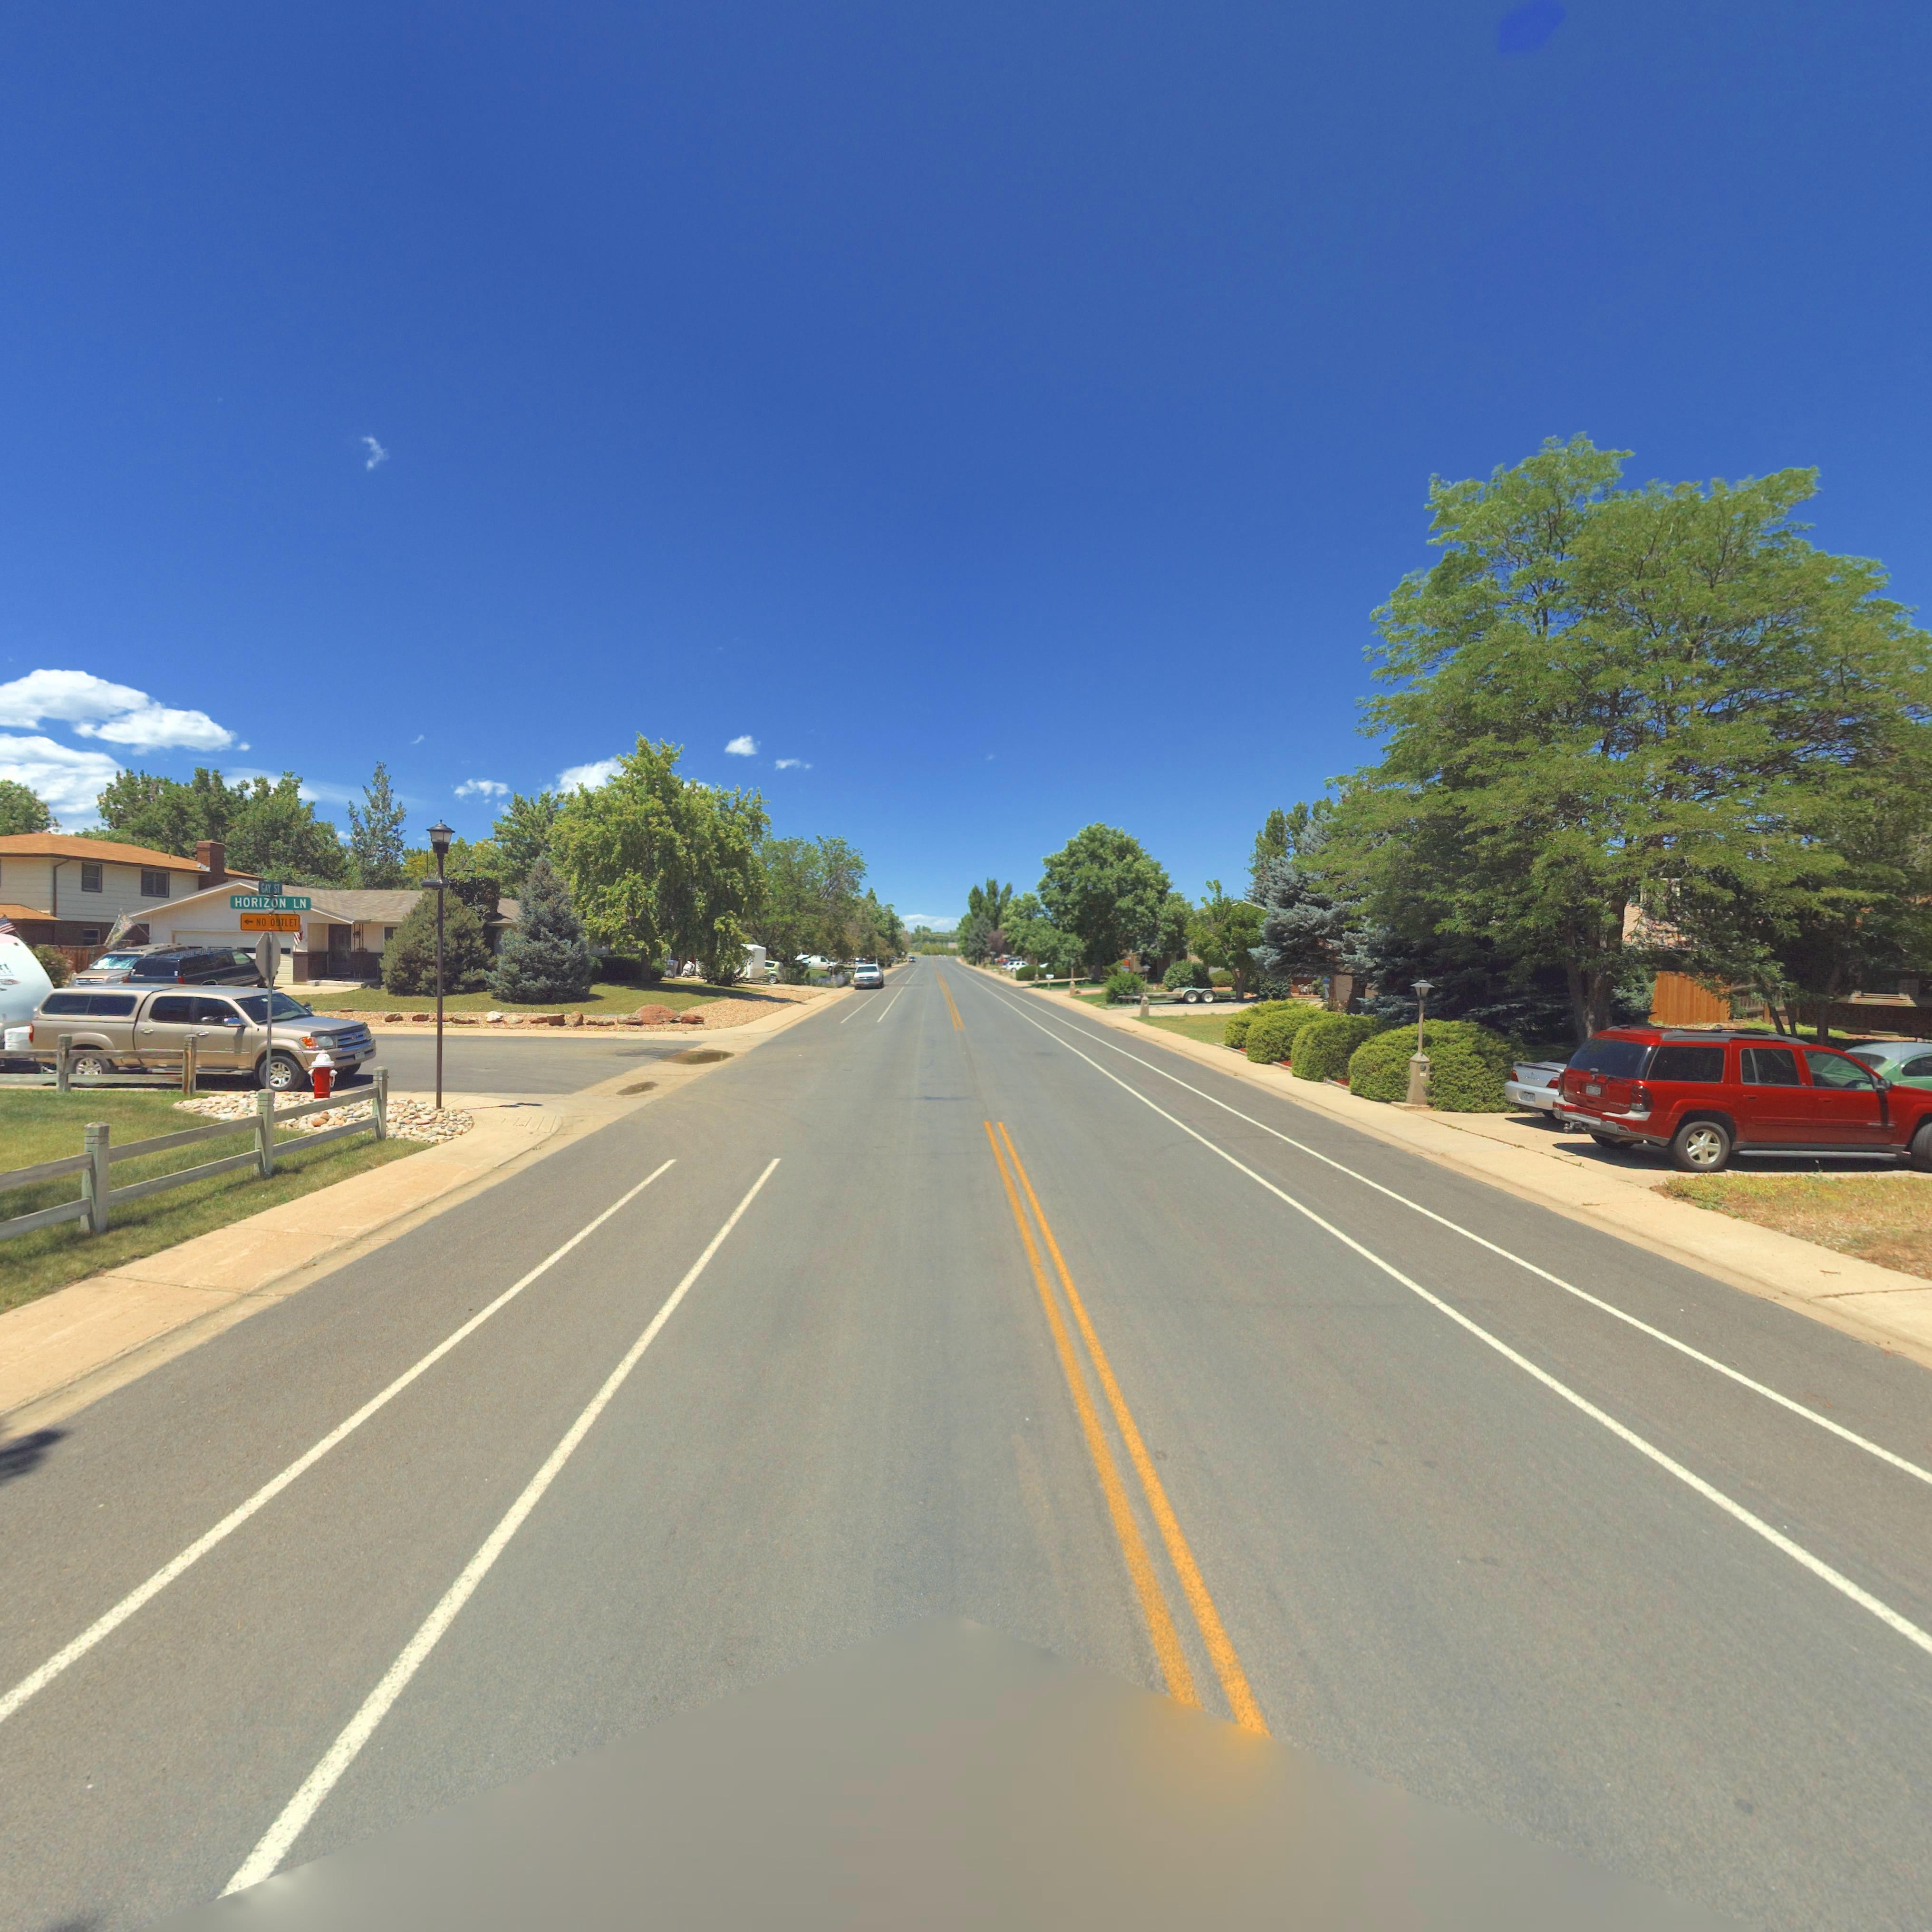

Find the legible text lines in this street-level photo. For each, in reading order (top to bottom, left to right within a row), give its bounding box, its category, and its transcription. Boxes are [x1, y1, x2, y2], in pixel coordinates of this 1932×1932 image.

[261, 883, 280, 893] StreetName: GAY ST
[235, 897, 307, 908] StreetName: HORIZON LN